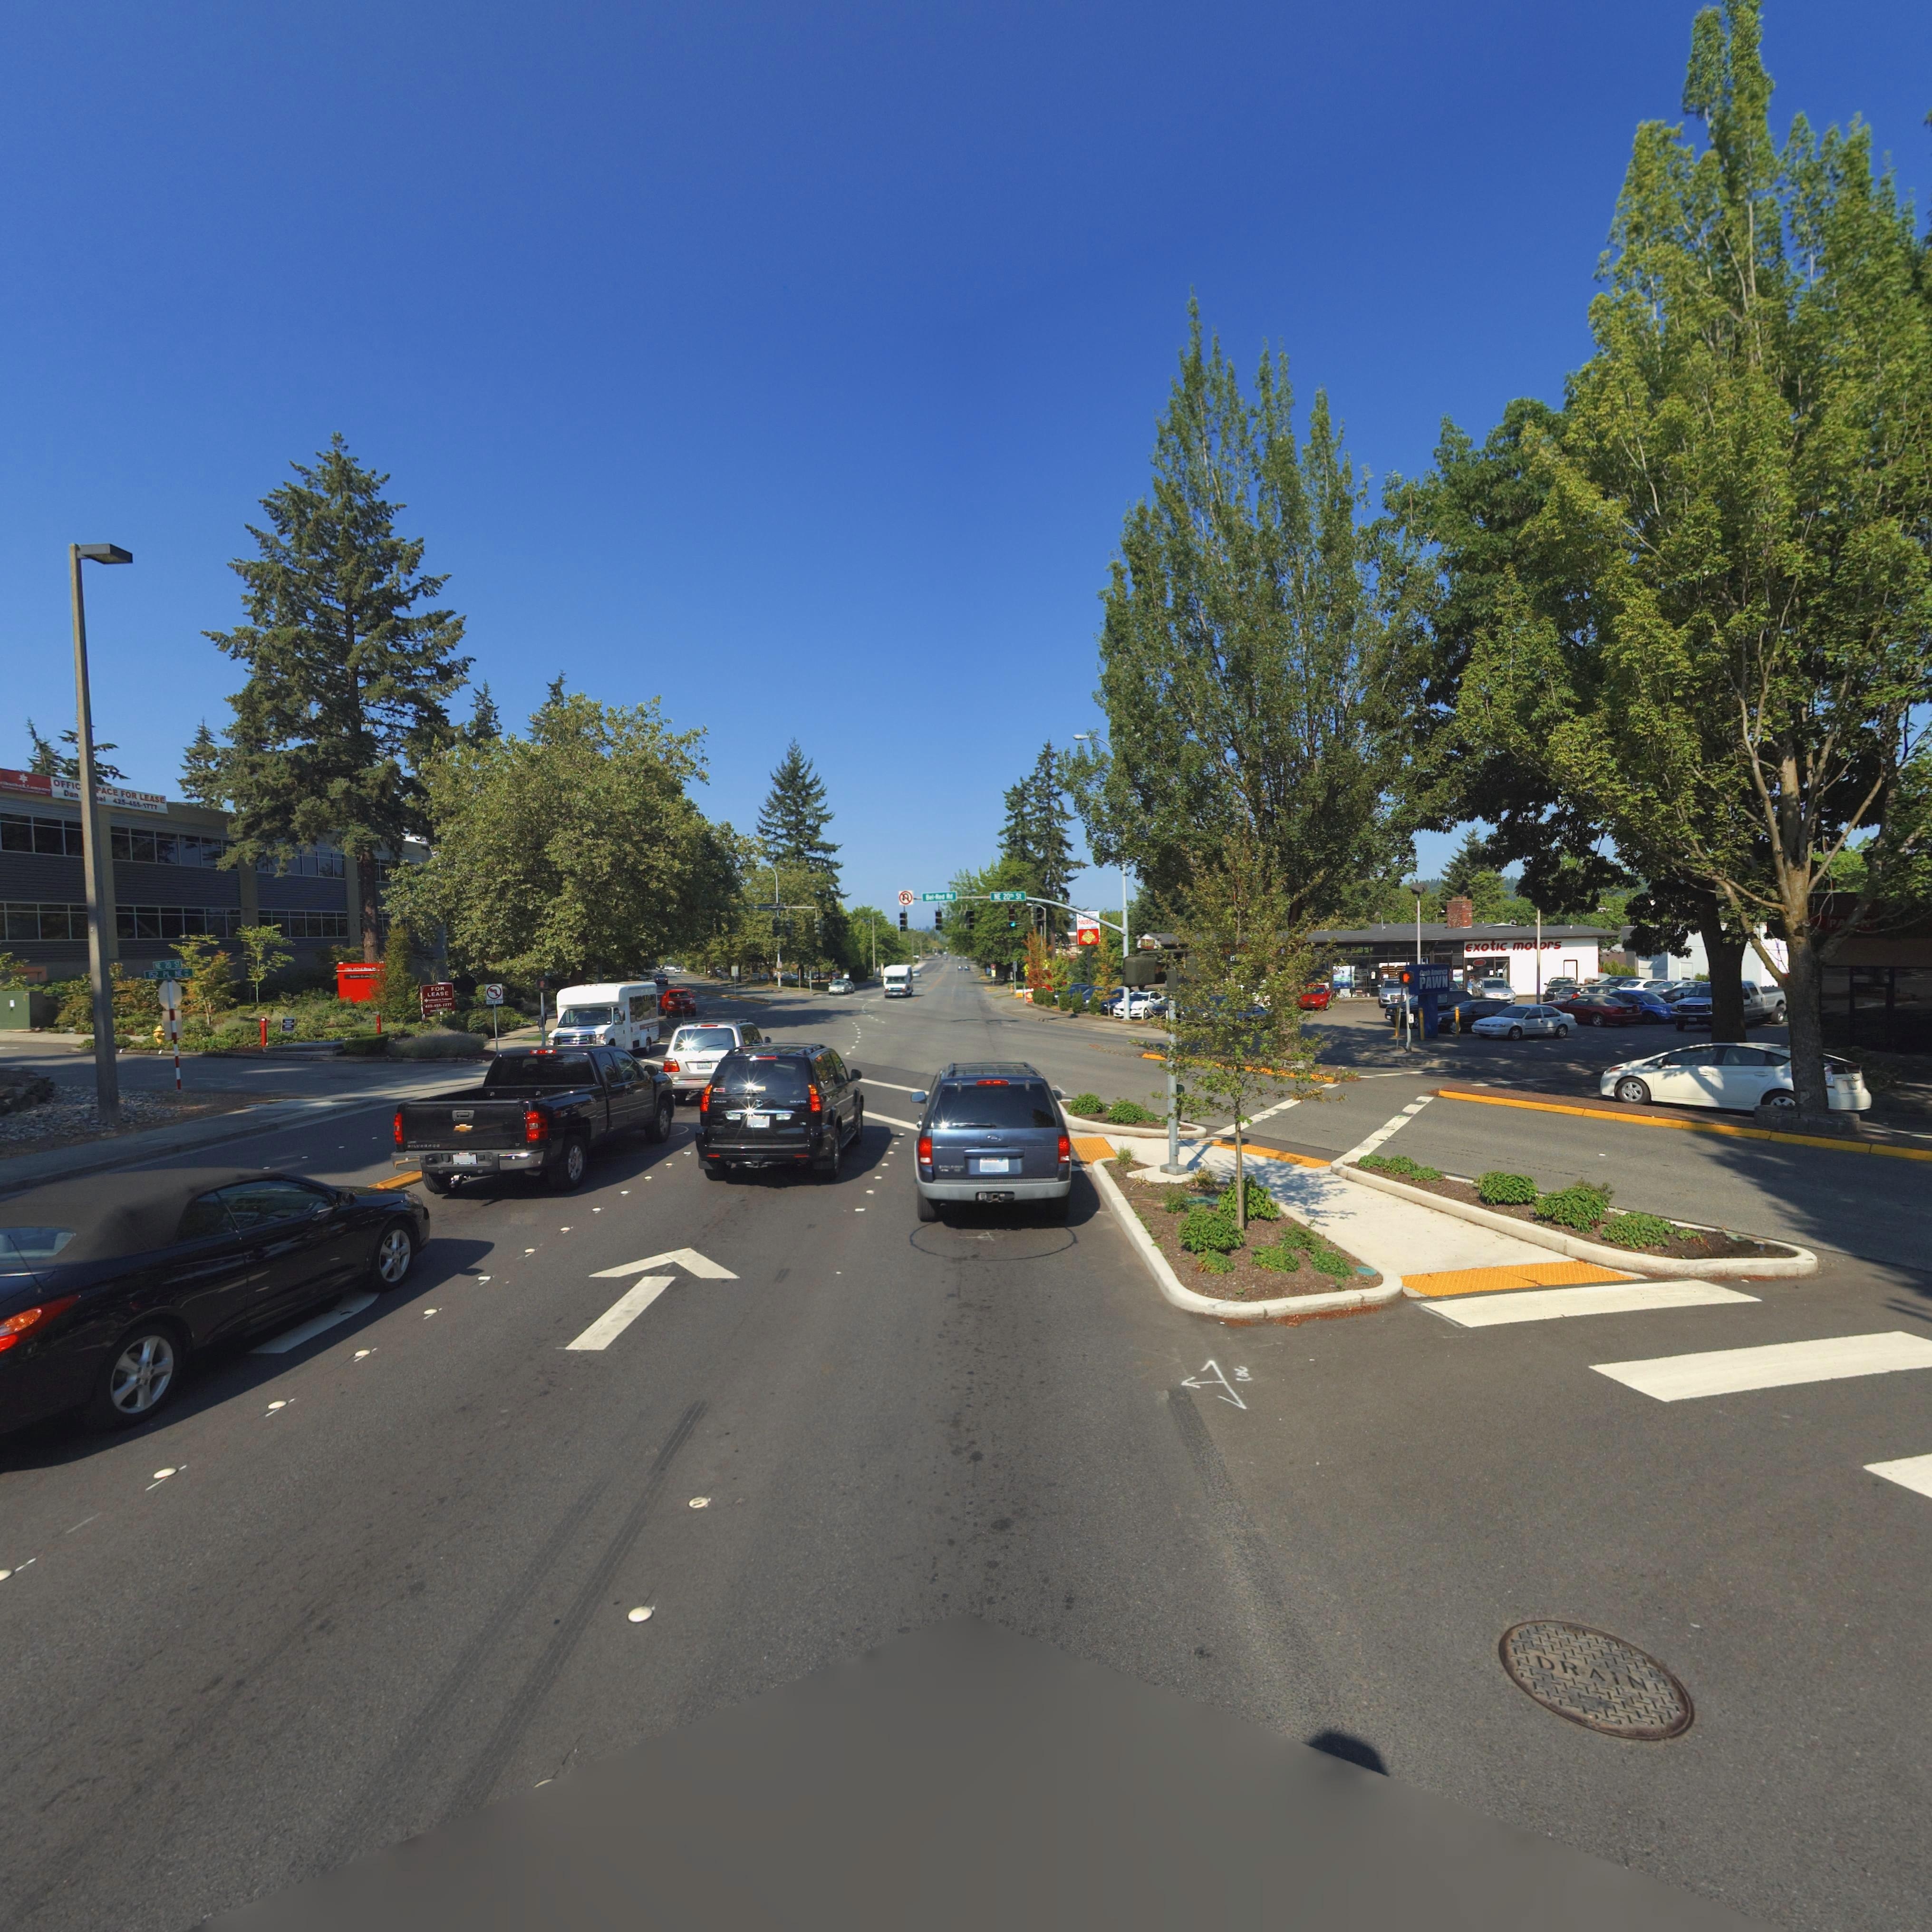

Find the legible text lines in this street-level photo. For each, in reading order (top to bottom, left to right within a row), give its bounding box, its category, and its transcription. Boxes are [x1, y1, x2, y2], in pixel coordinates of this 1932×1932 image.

[926, 893, 953, 900] StreetName: B**-R*d Rd
[994, 893, 1021, 900] StreetName: NE 20** St
[148, 969, 183, 978] StreetName: 152 PL NE